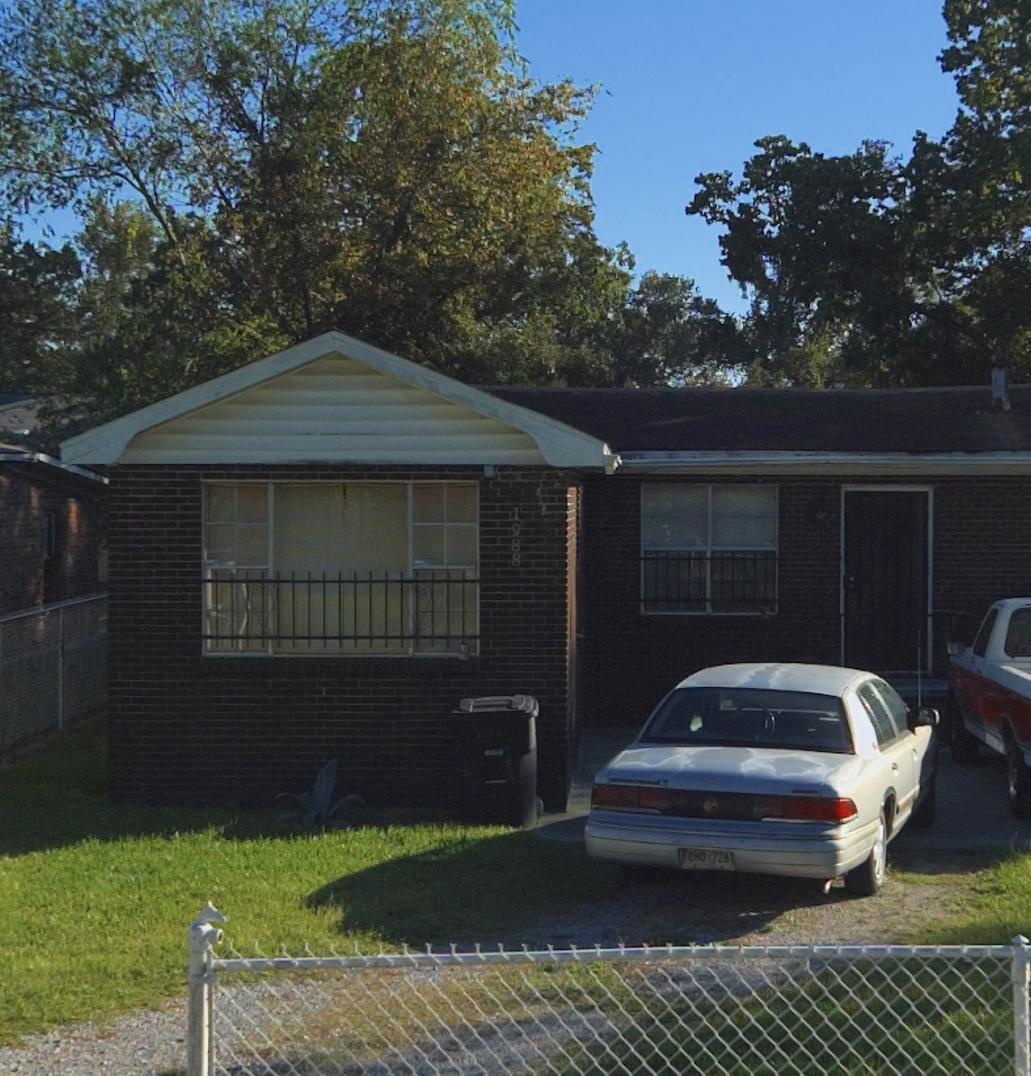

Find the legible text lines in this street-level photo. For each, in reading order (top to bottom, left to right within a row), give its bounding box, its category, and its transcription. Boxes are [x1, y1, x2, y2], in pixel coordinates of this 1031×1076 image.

[510, 506, 522, 568] StreetNumber: 1988
[688, 851, 731, 864] None: OHO*726